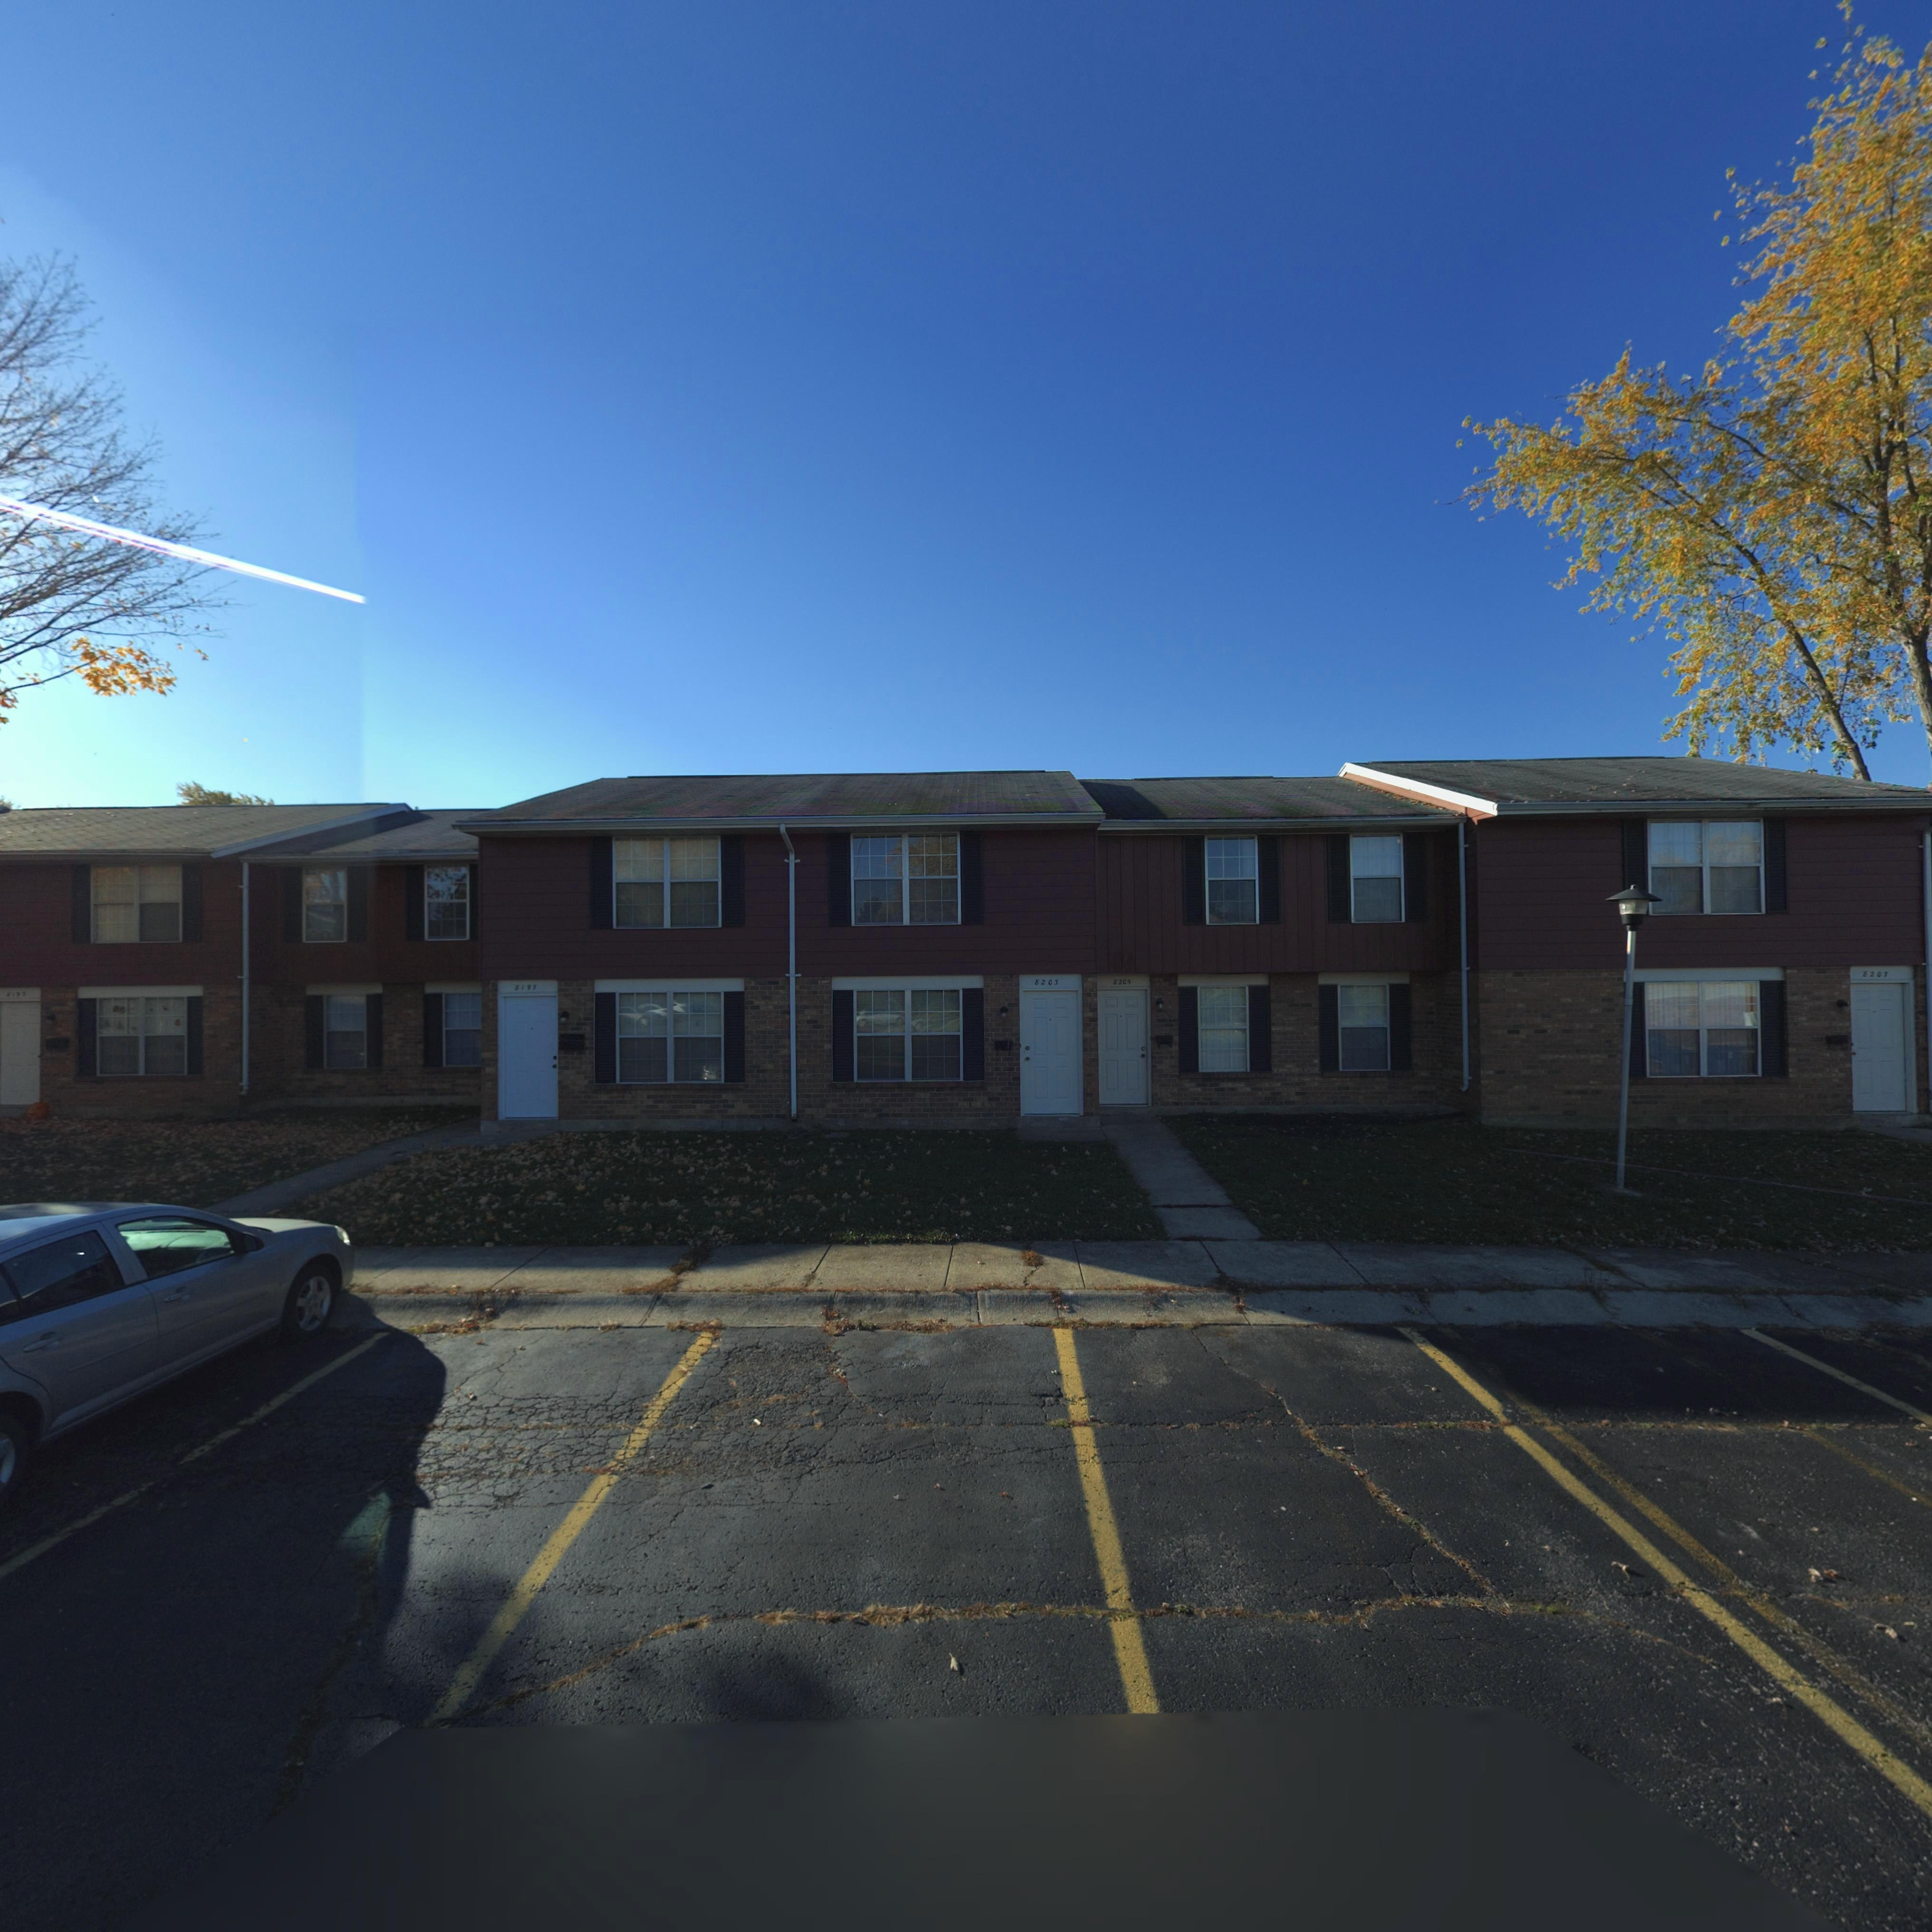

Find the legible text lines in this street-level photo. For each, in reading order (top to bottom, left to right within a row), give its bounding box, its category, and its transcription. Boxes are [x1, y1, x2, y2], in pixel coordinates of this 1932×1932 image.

[1862, 970, 1888, 978] StreetNumber: 8207
[1034, 979, 1059, 985] StreetNumber: 8203
[1113, 979, 1131, 985] StreetNumber: 8205
[514, 984, 537, 991] StreetNumber: 8197
[6, 991, 27, 997] StreetNumber: 8195